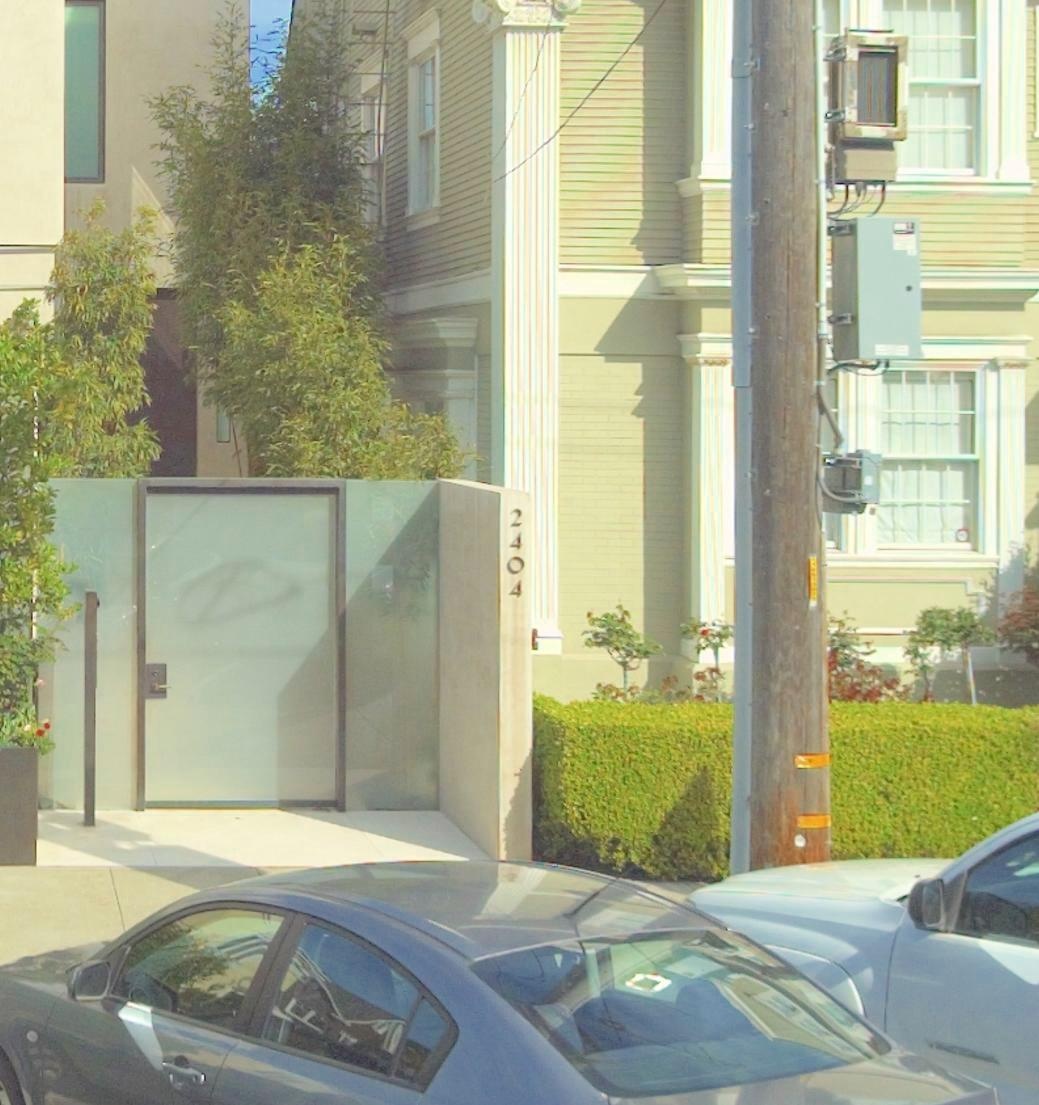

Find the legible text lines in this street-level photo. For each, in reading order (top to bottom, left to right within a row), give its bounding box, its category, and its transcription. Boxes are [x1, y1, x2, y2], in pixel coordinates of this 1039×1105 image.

[505, 506, 526, 600] StreetNumber: 2404